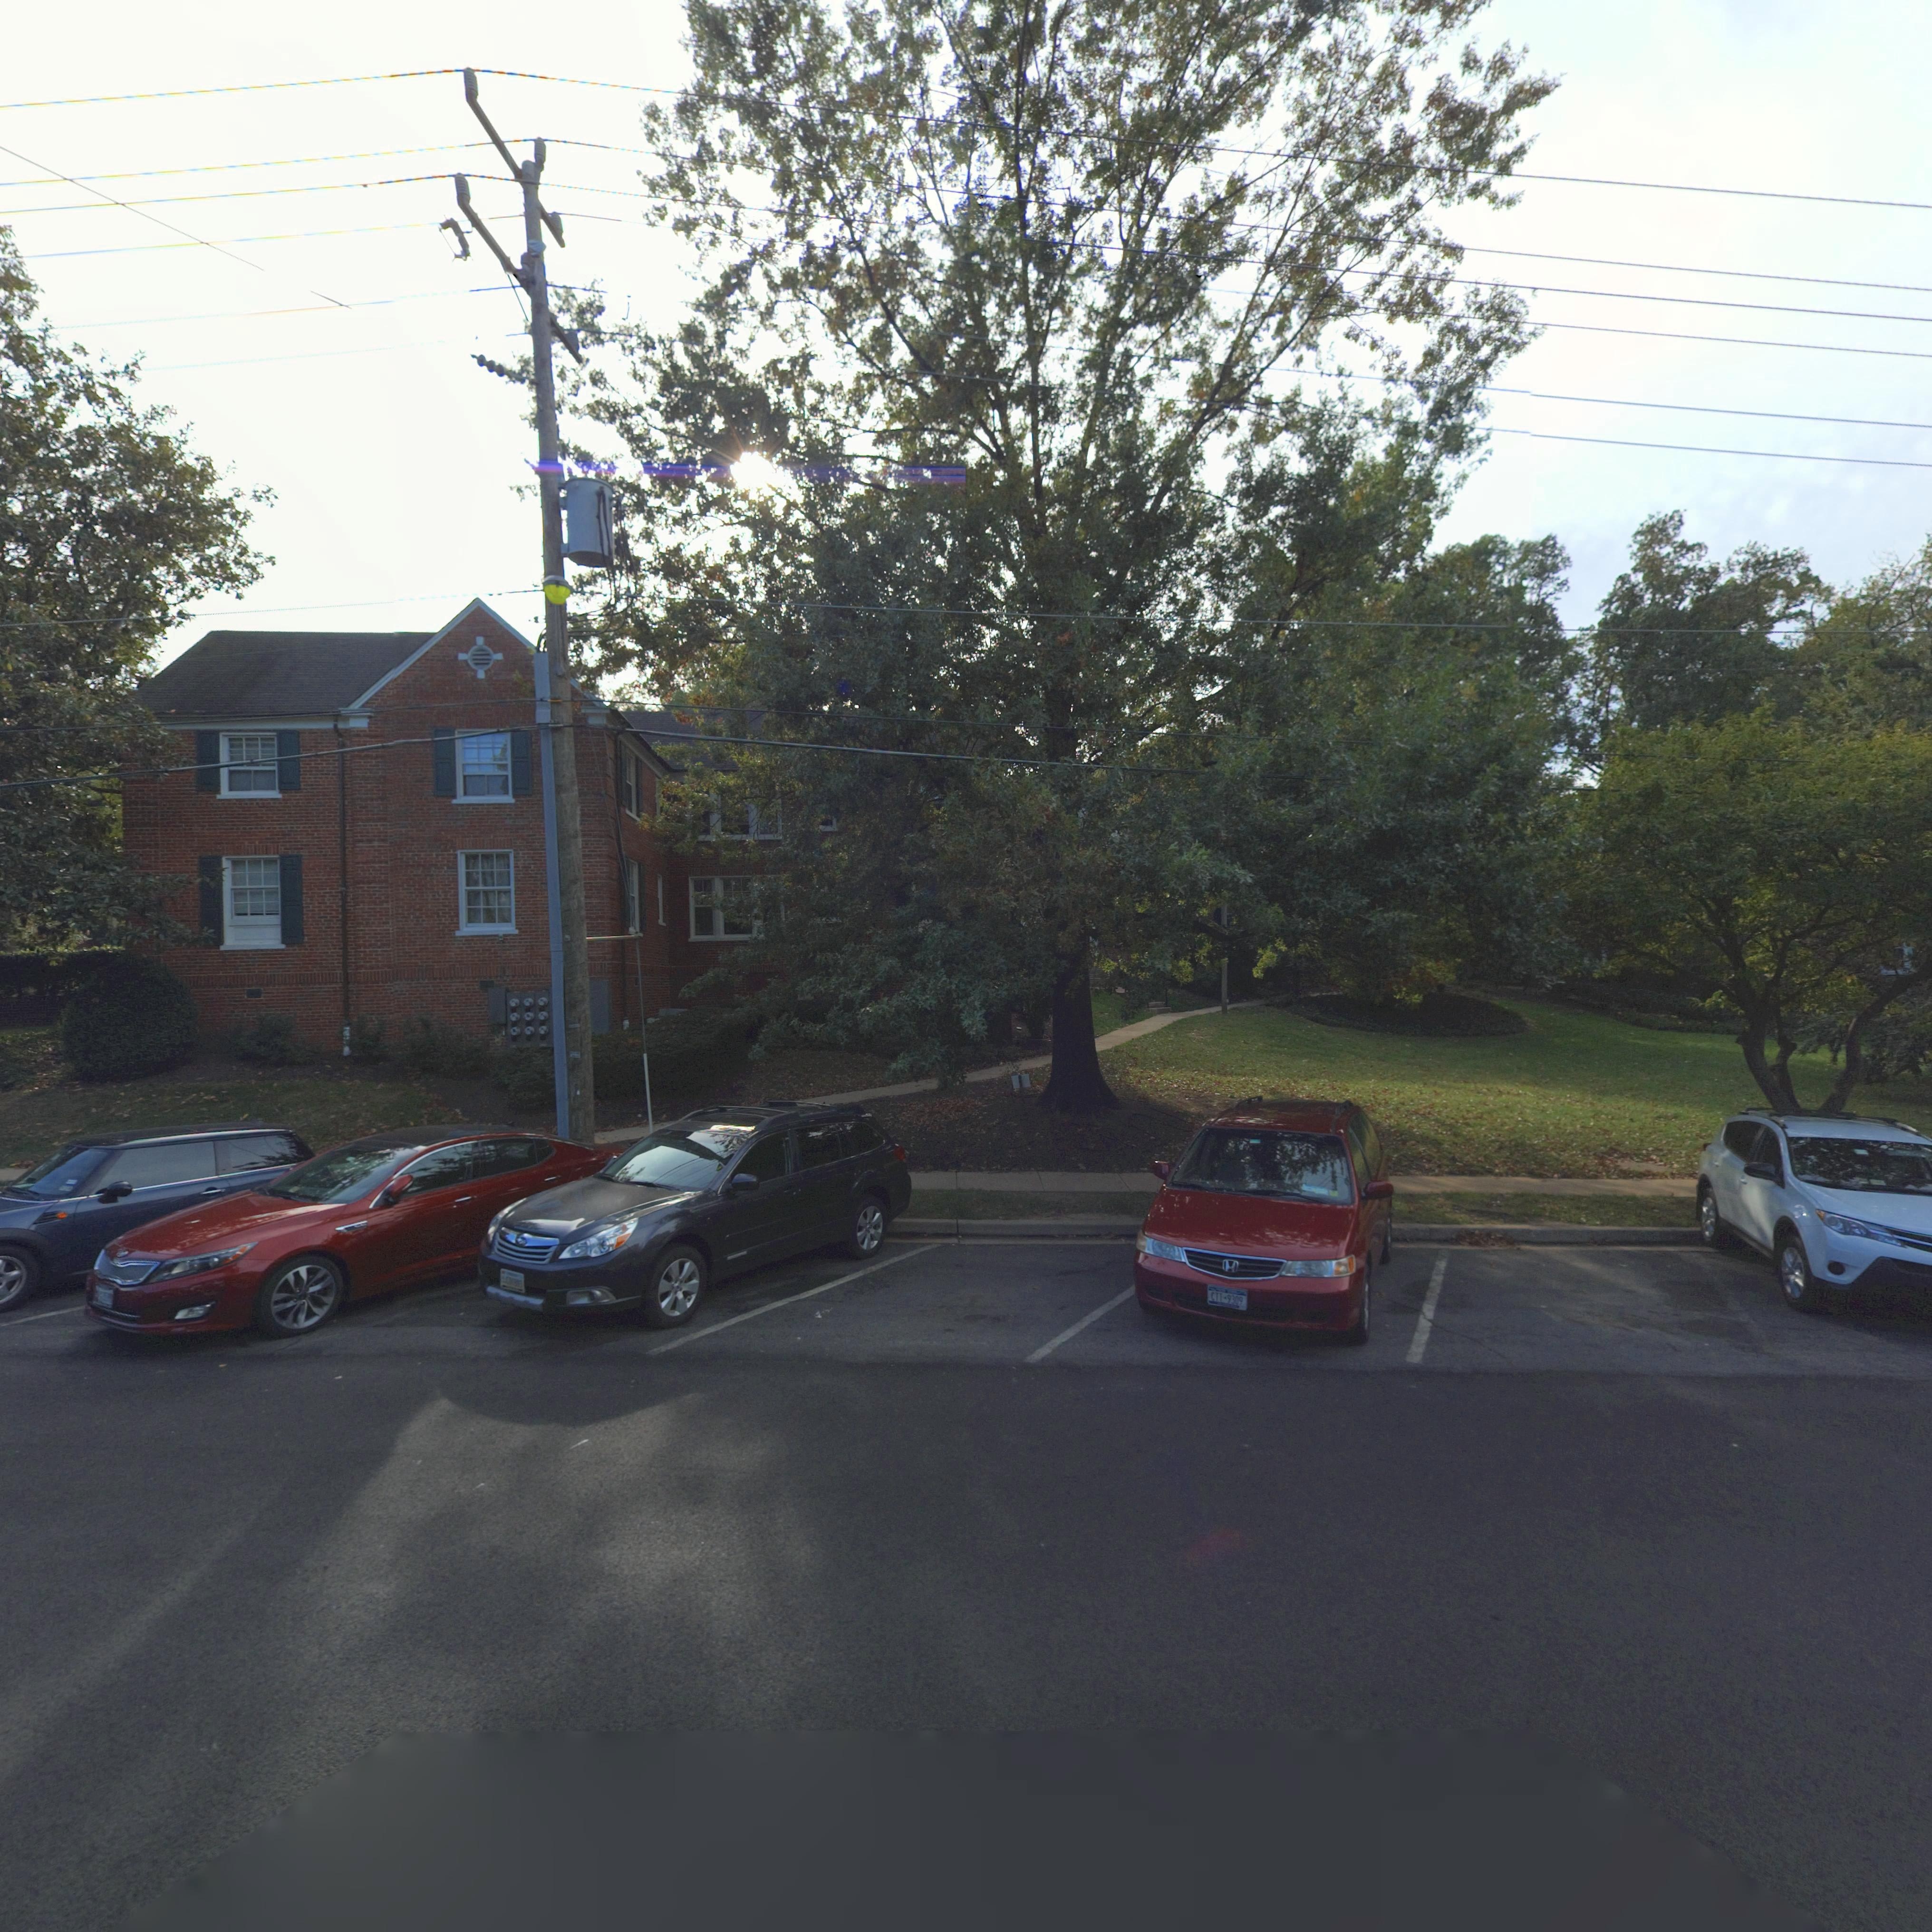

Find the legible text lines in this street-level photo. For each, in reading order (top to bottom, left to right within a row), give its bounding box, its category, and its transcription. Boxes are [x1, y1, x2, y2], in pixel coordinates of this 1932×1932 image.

[1210, 1291, 1244, 1307] None: CTT*9309